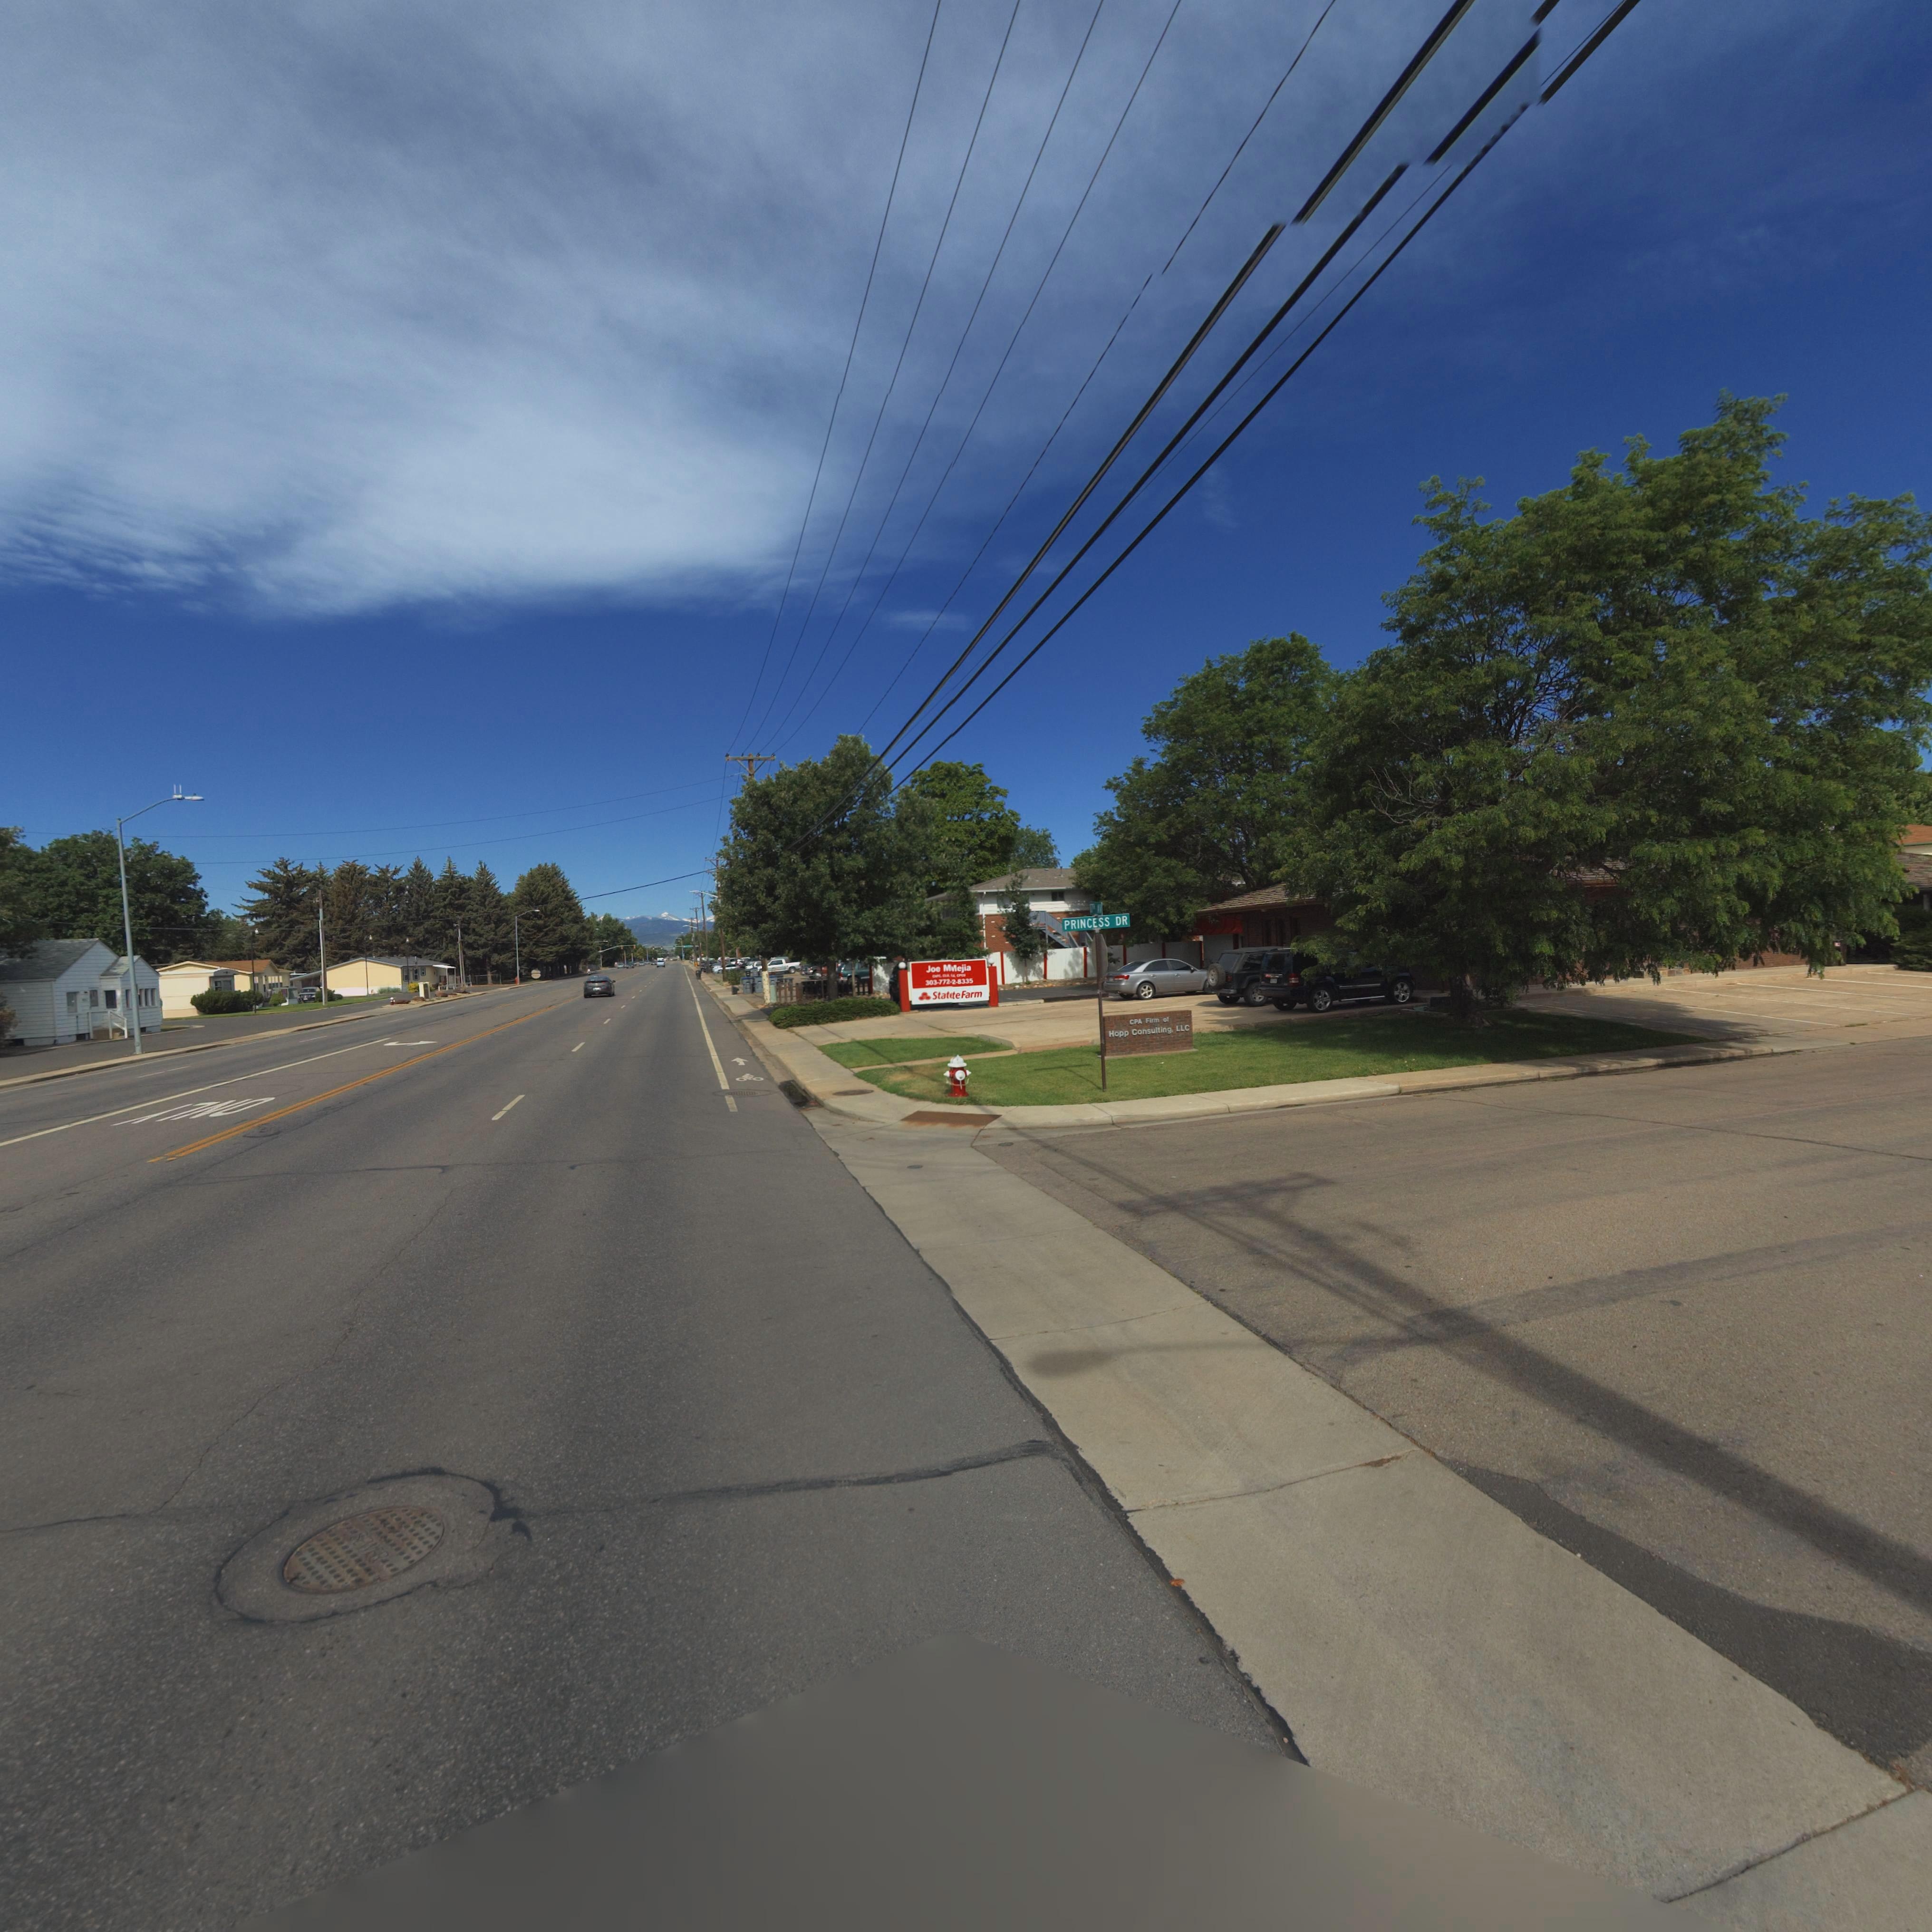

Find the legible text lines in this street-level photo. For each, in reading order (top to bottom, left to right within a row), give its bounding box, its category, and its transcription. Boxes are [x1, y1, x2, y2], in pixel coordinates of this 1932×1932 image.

[1089, 903, 1102, 913] StreetName: 17* AV
[1064, 915, 1128, 930] StreetName: PRINCESS DR
[932, 990, 983, 1000] BusinessName: Stat*te Farm
[1109, 1024, 1190, 1038] BusinessName: Hopp Consulting, LLC